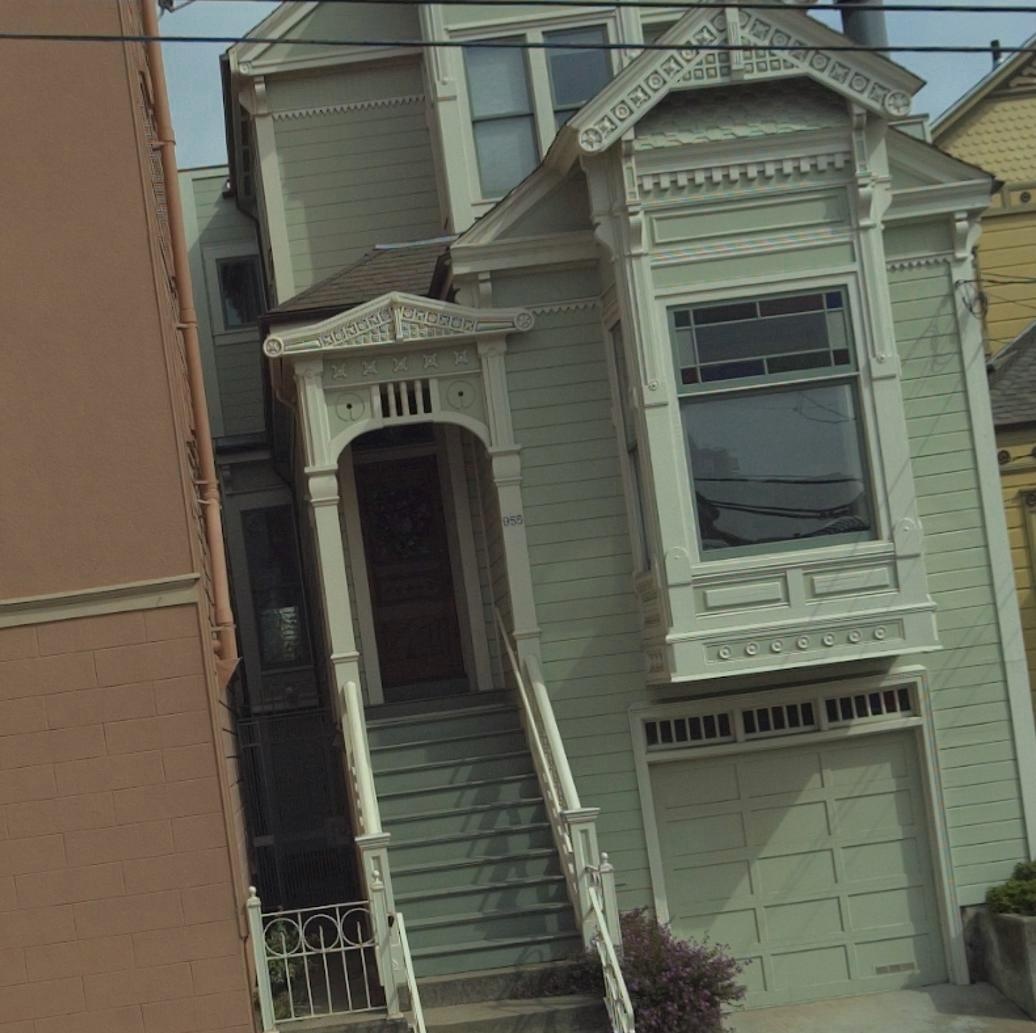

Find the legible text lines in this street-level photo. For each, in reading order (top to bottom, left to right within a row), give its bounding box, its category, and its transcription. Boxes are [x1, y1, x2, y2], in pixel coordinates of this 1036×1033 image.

[502, 513, 524, 528] StreetNumber: 955